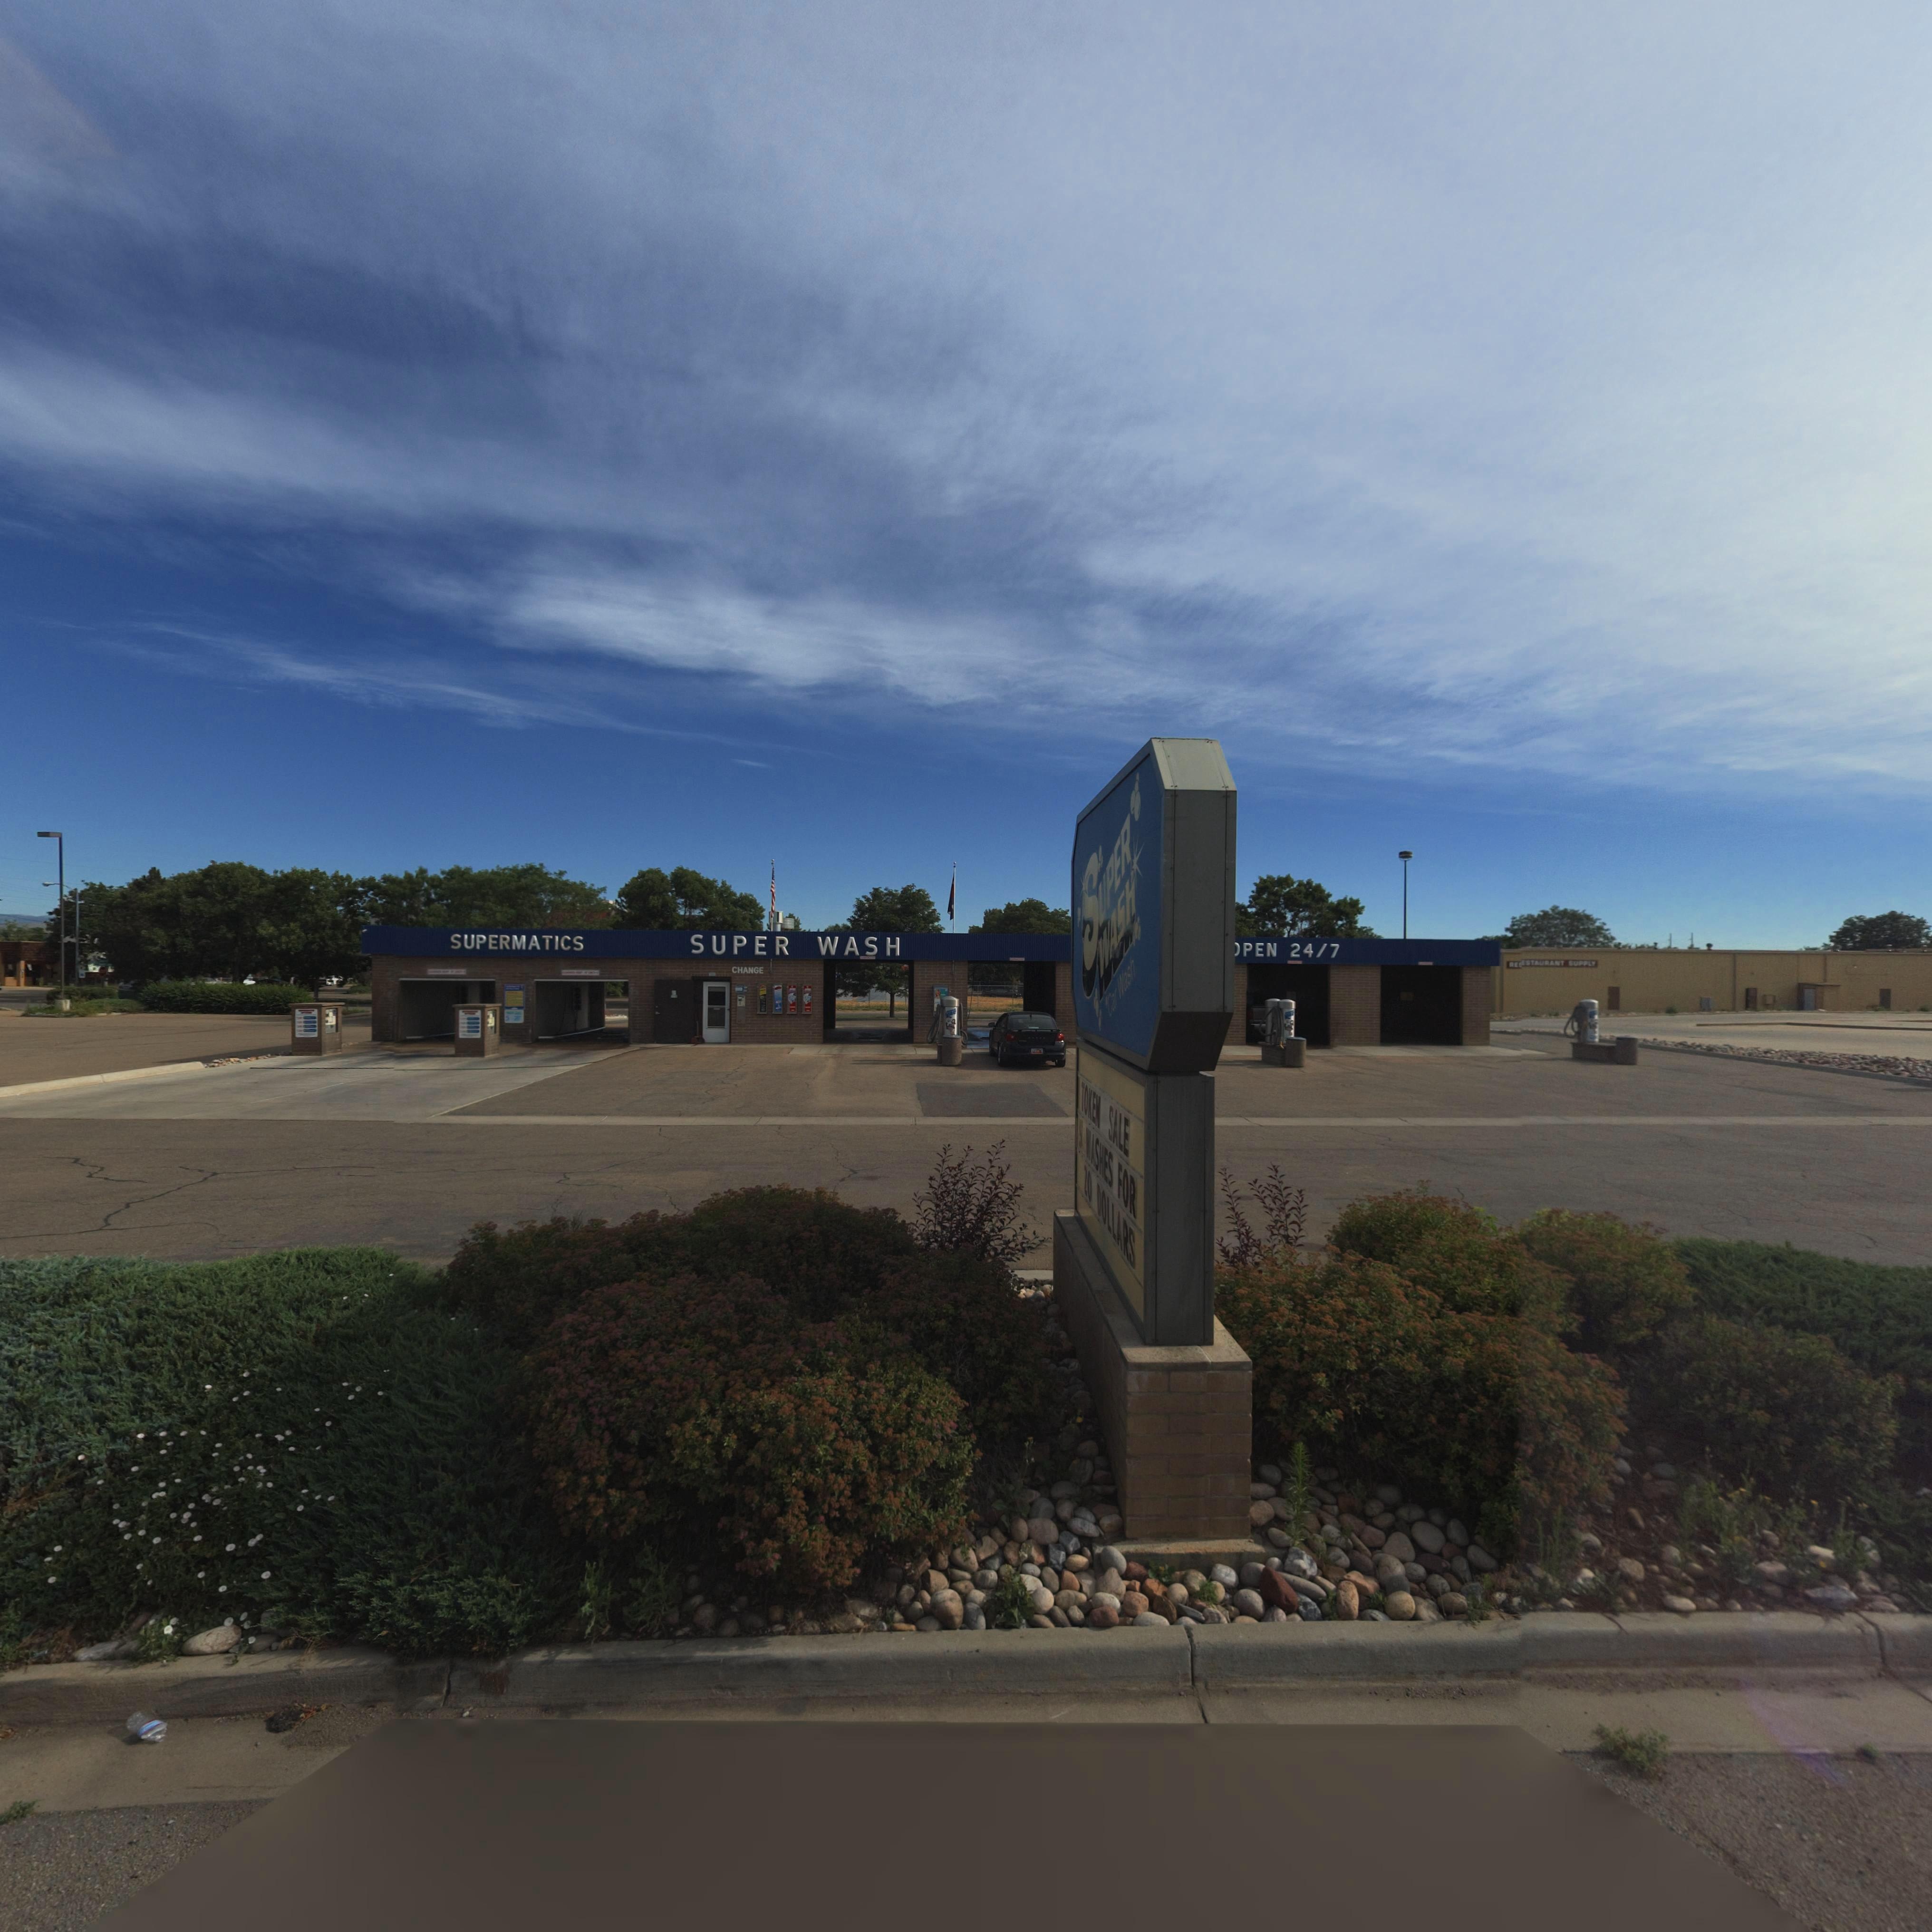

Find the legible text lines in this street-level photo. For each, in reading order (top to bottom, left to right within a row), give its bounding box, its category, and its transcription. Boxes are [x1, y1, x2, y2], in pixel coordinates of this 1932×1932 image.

[691, 935, 900, 956] BusinessName: SUPER WASH
[1082, 812, 1133, 970] BusinessName: SUPER
[1098, 869, 1137, 978] BusinessName: WASH
[1108, 956, 1136, 1017] BusinessName: Car Wash